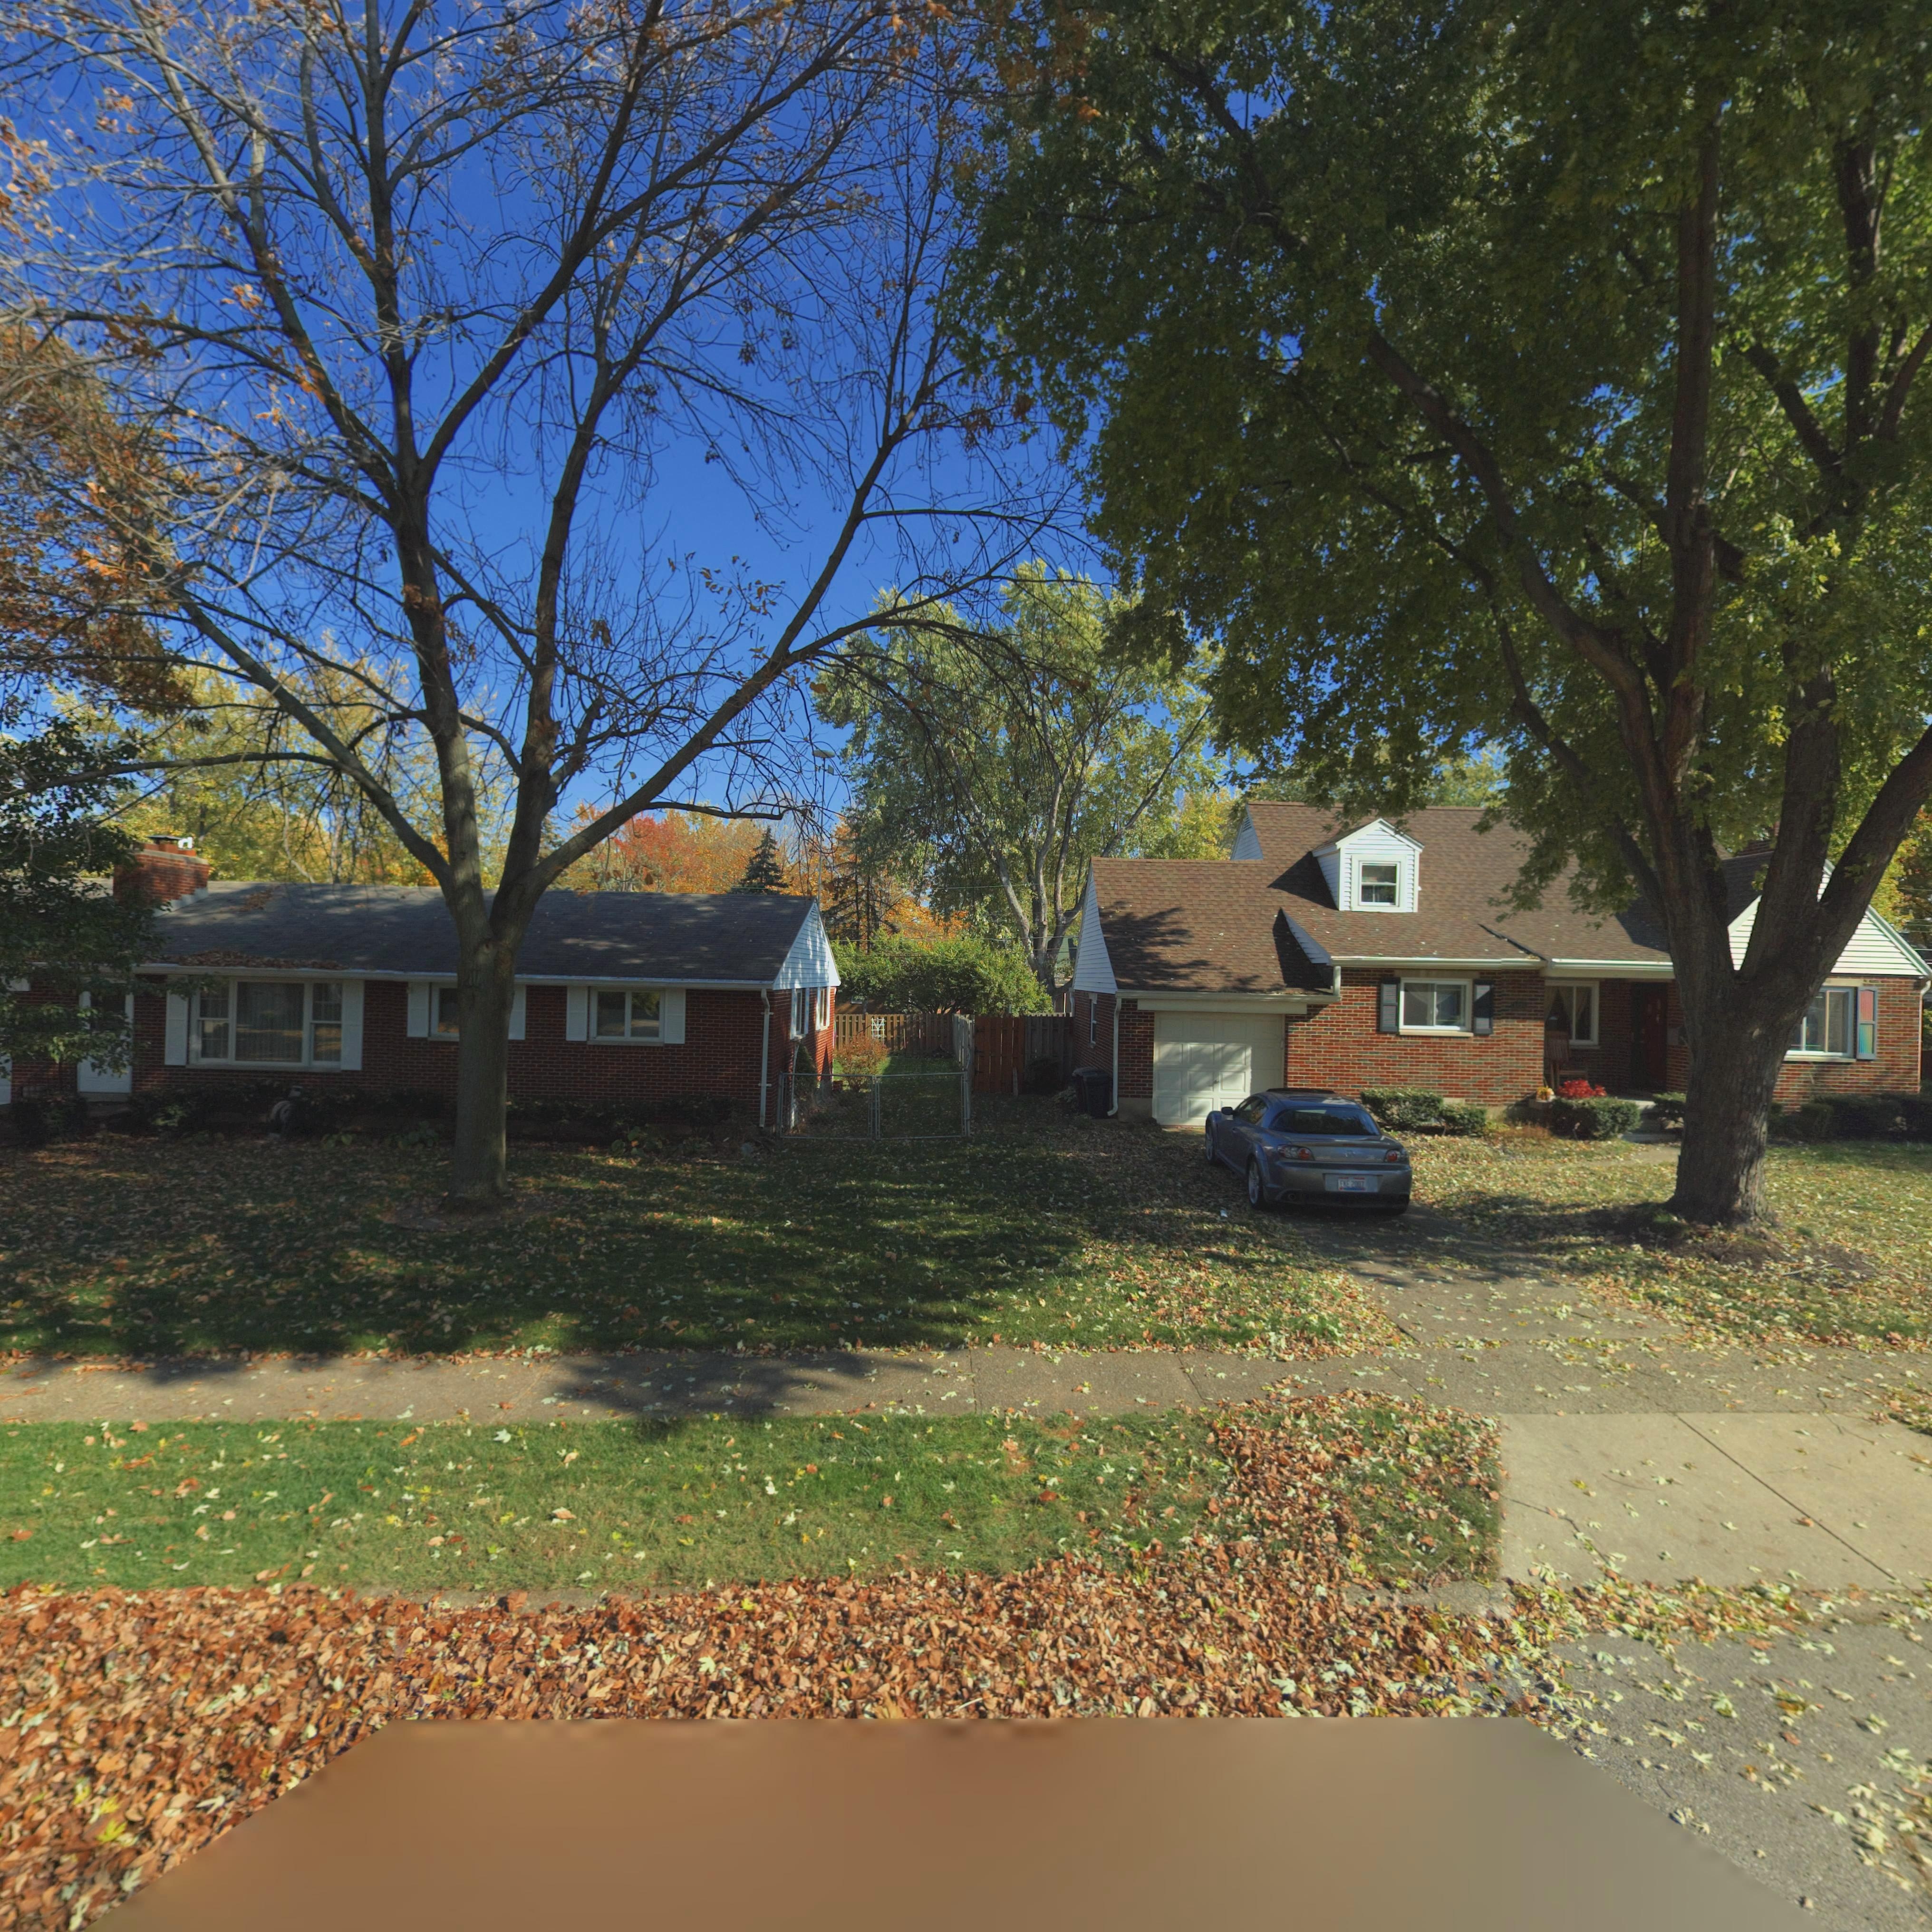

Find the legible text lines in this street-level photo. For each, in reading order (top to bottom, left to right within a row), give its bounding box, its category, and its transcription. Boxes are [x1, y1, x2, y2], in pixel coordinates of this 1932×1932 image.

[1339, 1180, 1365, 1188] None: EKE*2007